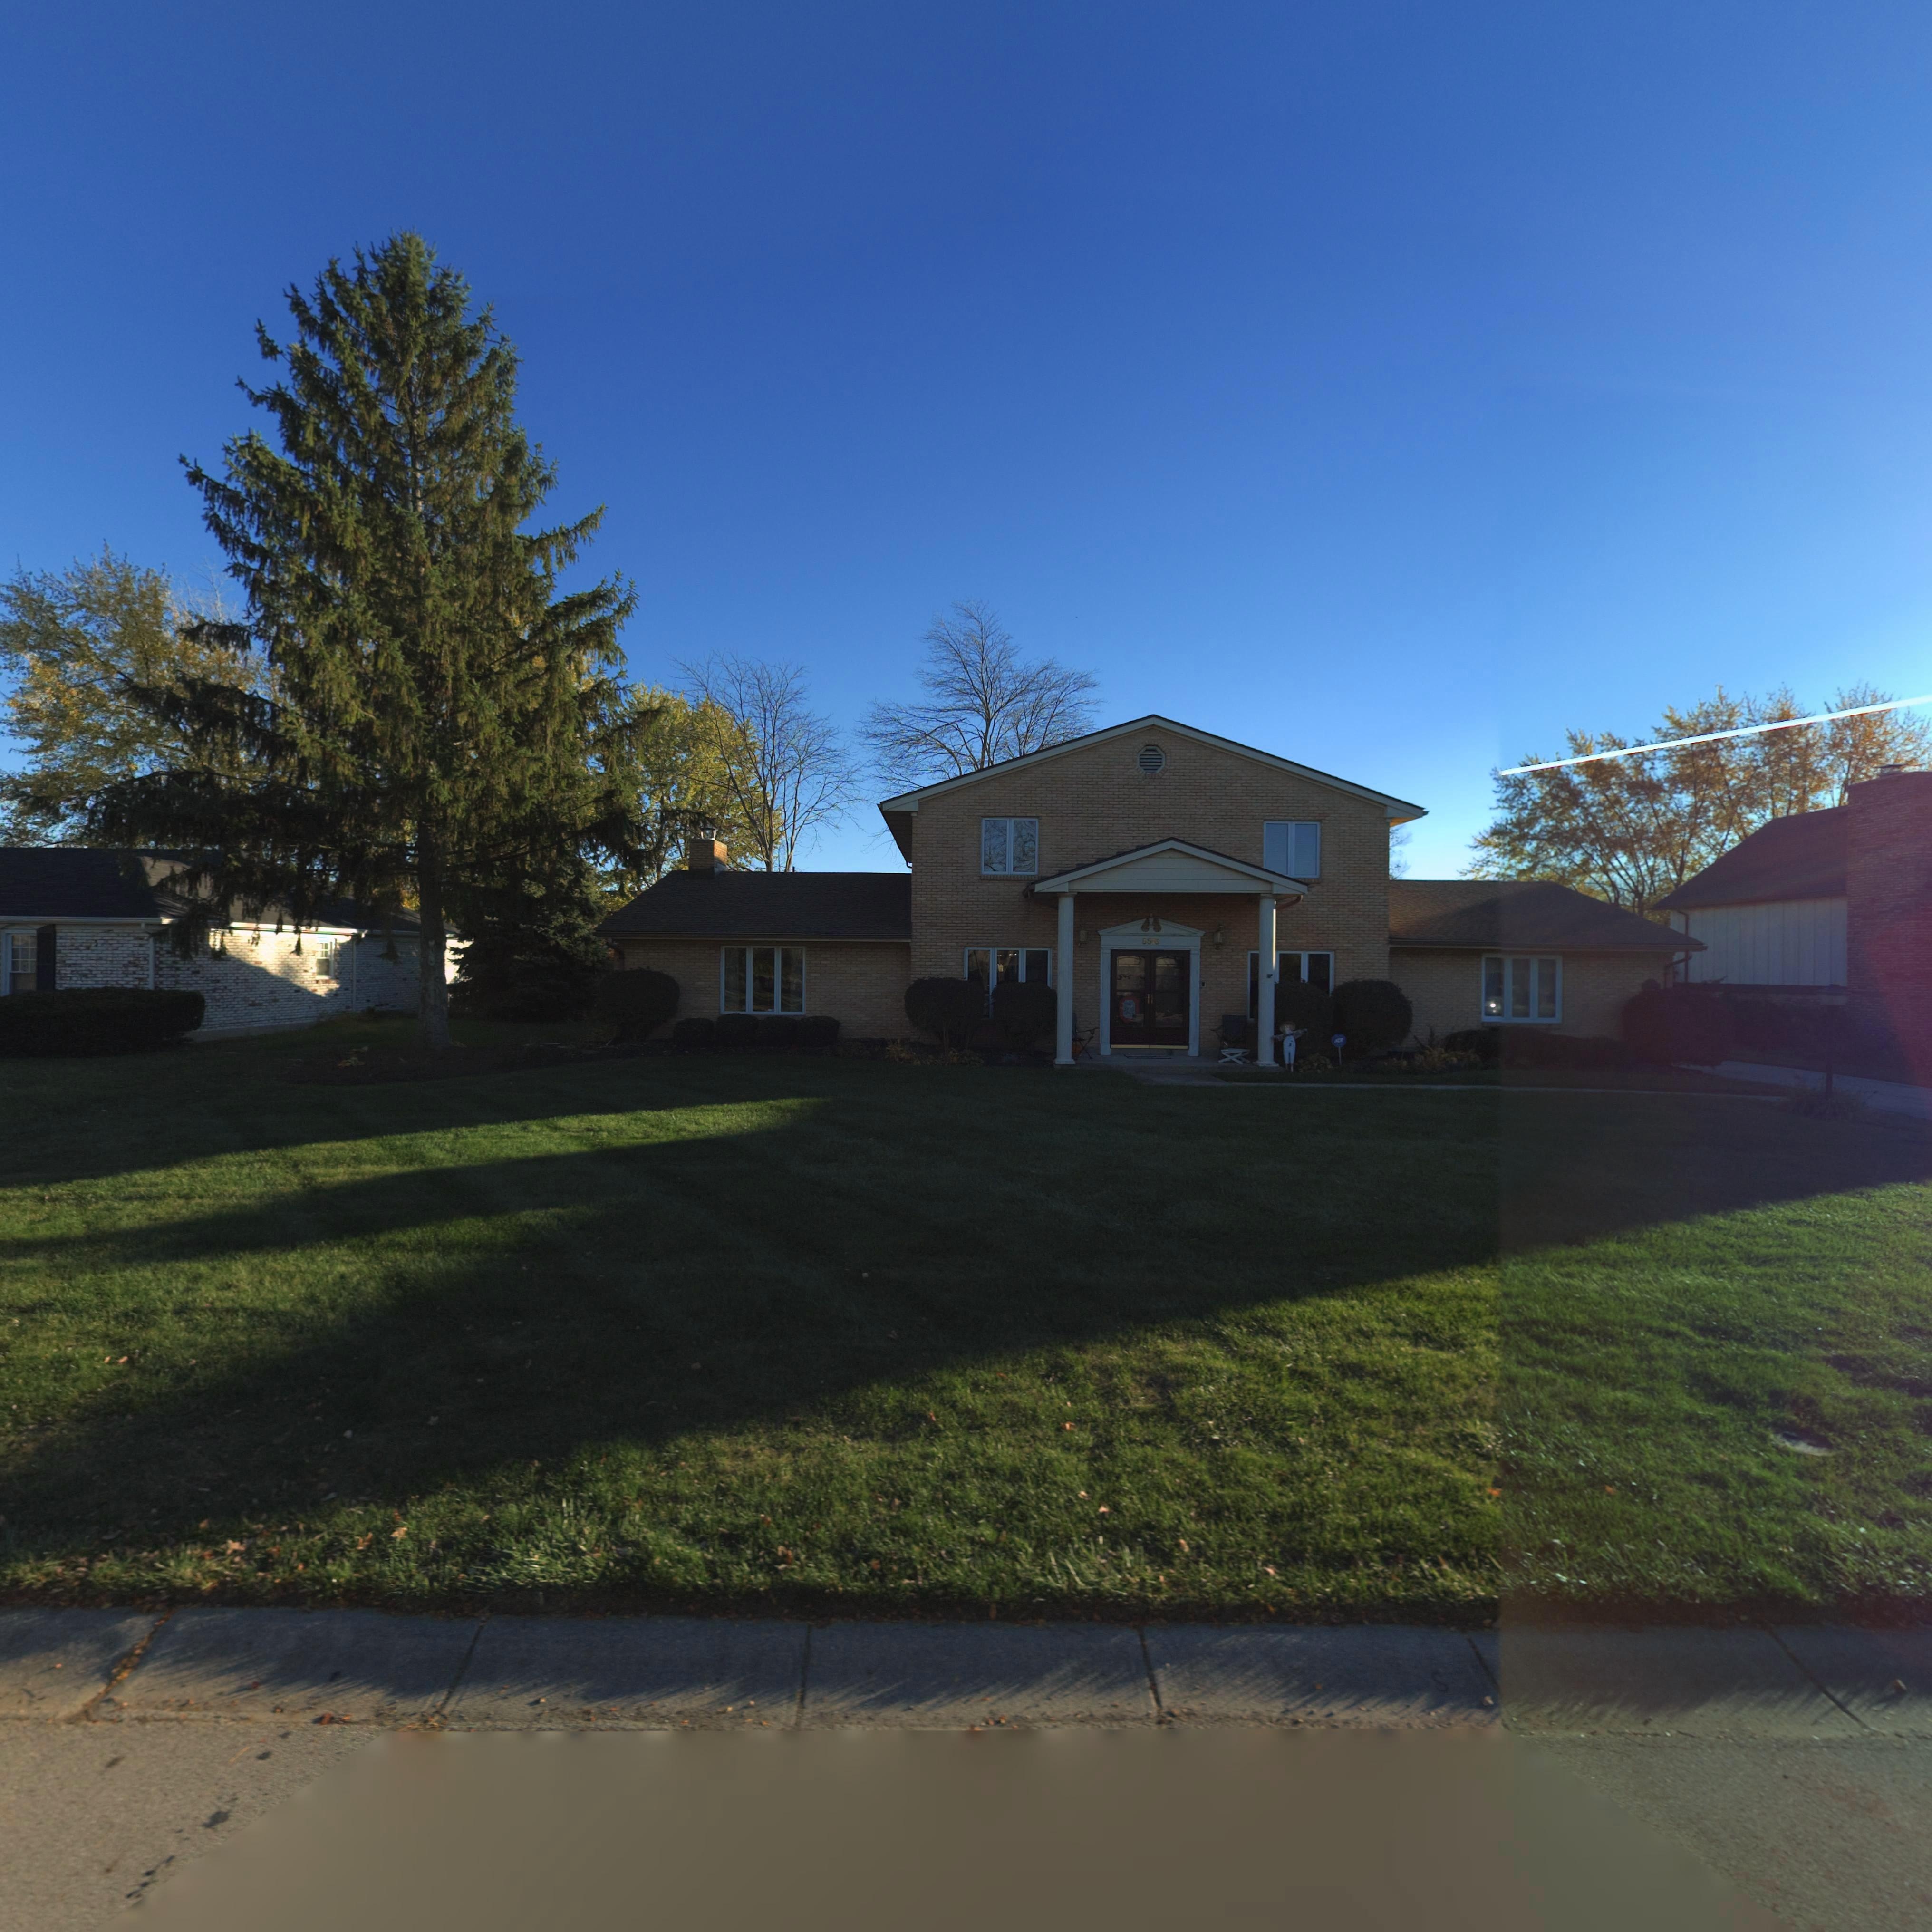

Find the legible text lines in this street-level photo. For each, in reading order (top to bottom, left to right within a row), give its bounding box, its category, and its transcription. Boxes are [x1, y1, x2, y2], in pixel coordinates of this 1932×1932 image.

[1141, 937, 1160, 946] StreetNumber: 55**